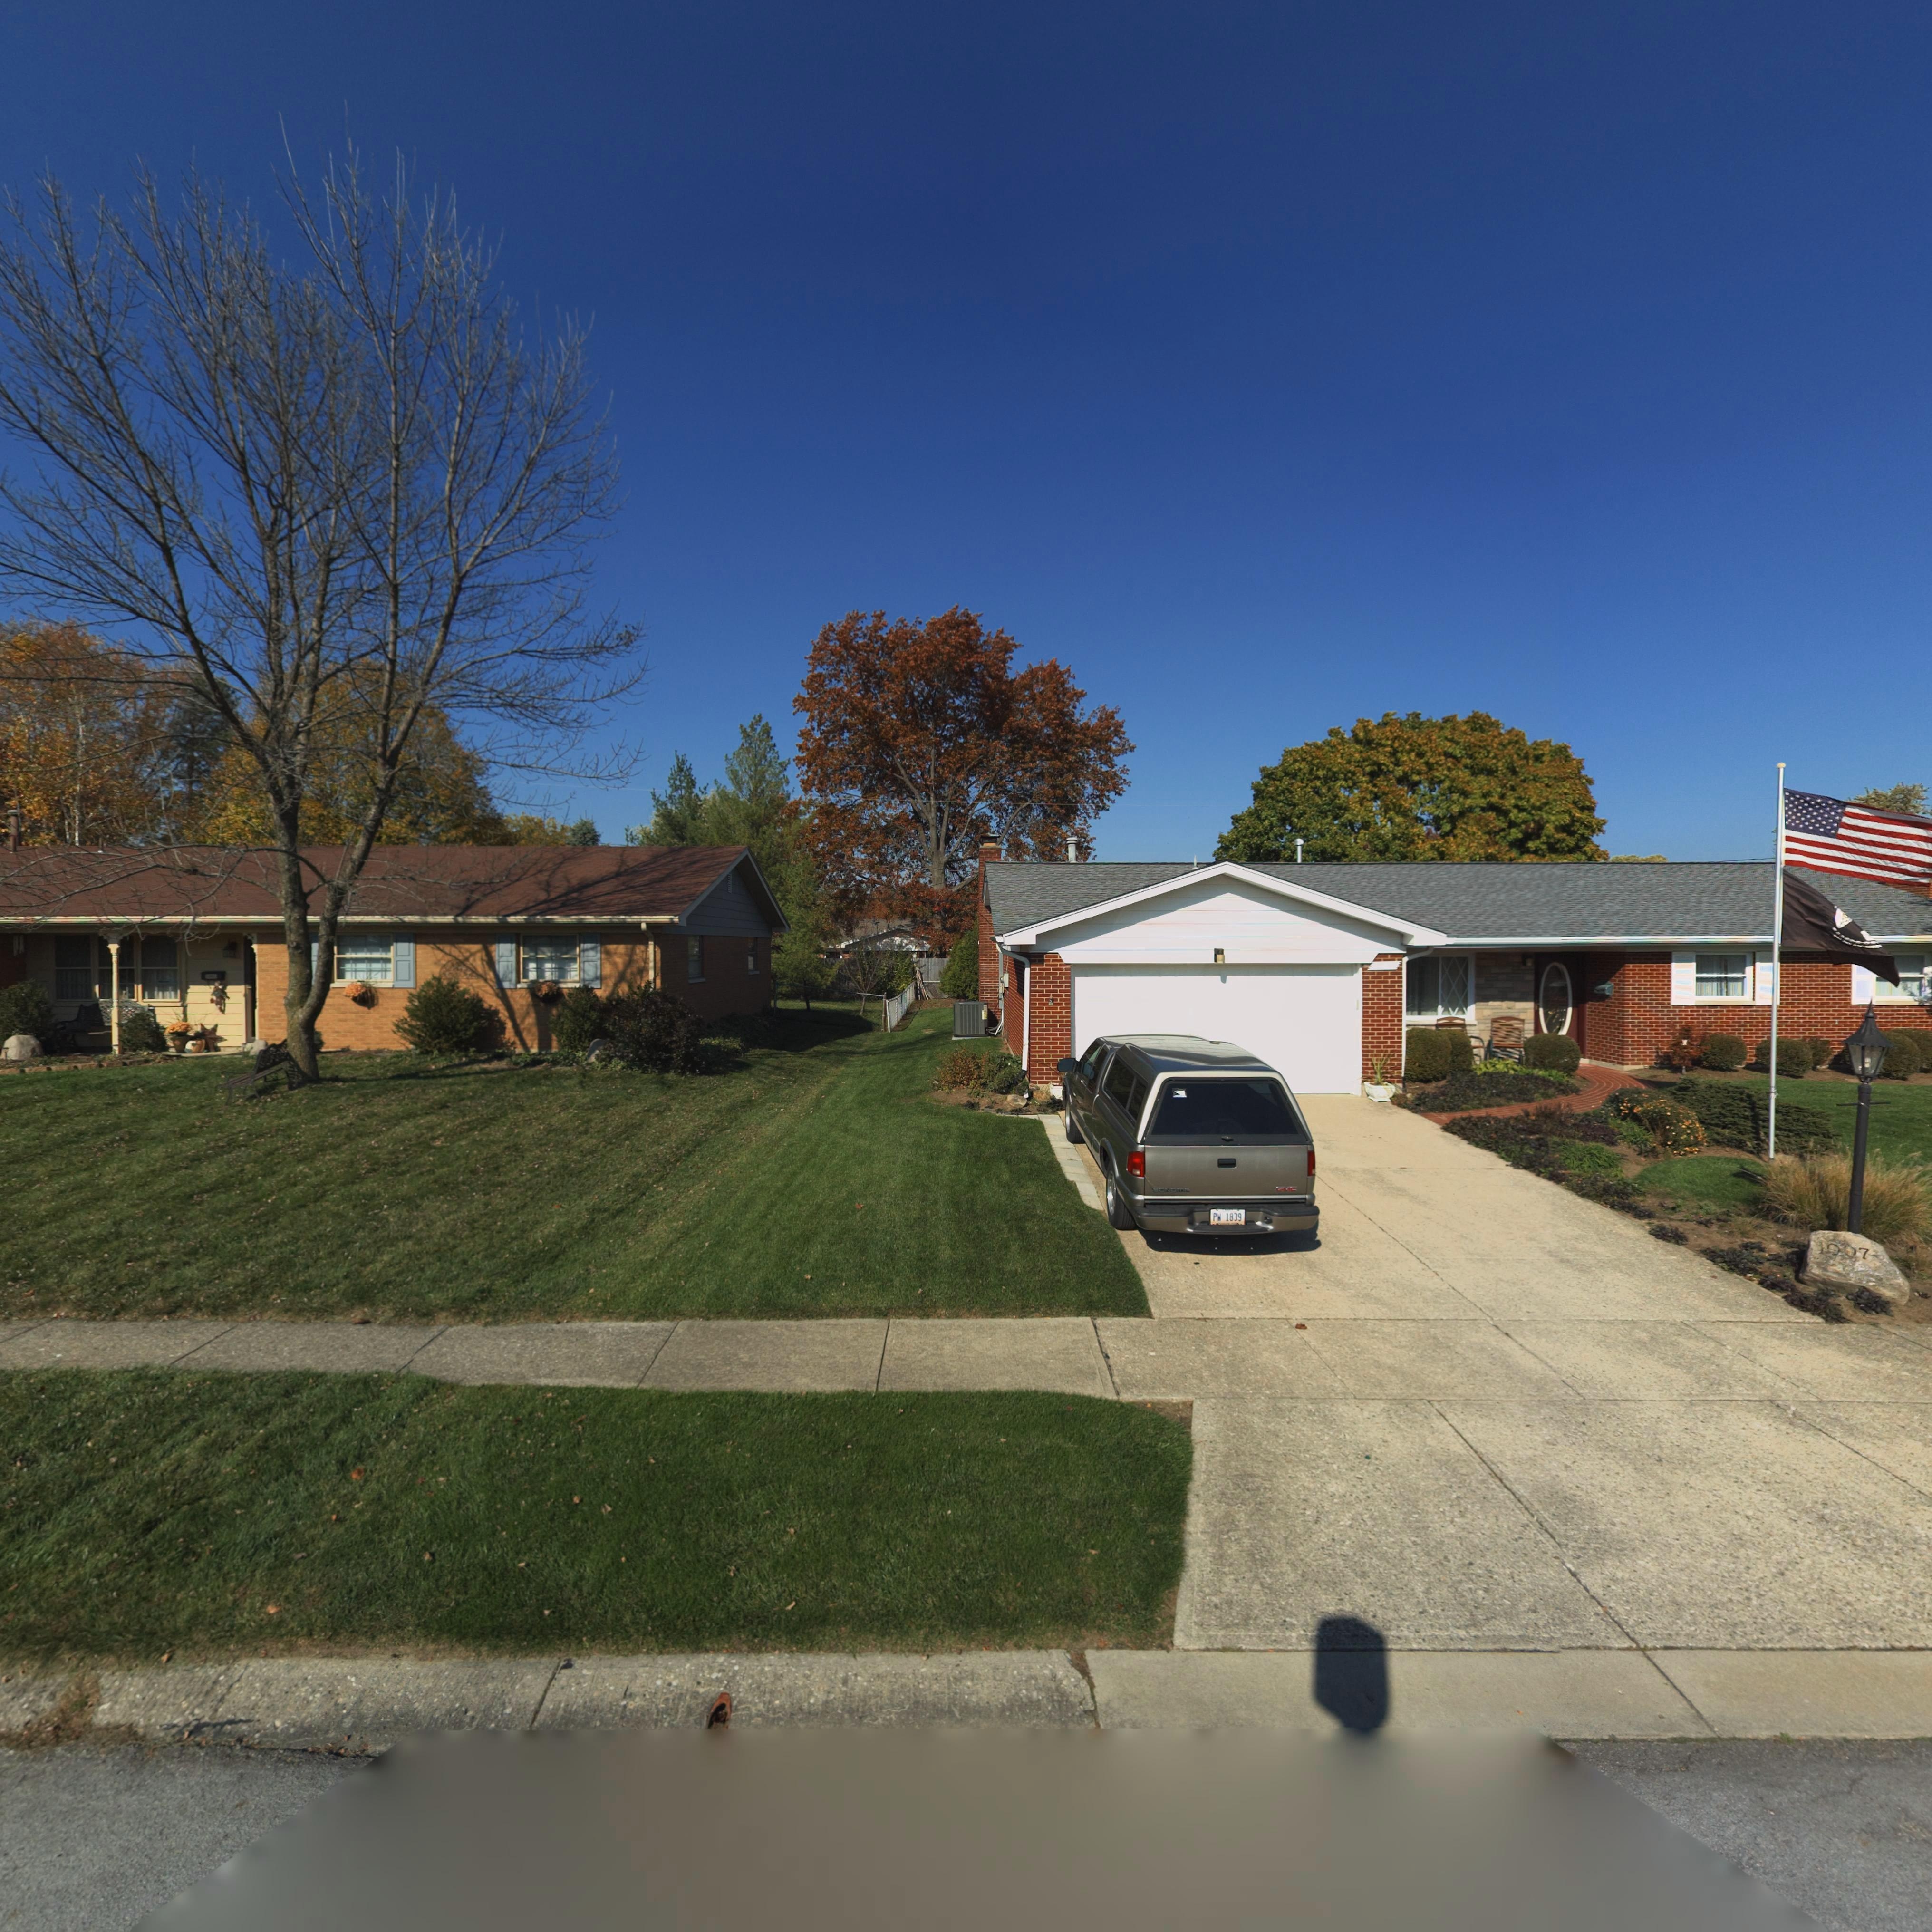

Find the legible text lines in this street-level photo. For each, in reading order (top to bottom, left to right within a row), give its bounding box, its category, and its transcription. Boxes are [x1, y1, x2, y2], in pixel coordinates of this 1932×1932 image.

[1818, 1240, 1871, 1261] StreetNumber: 1007